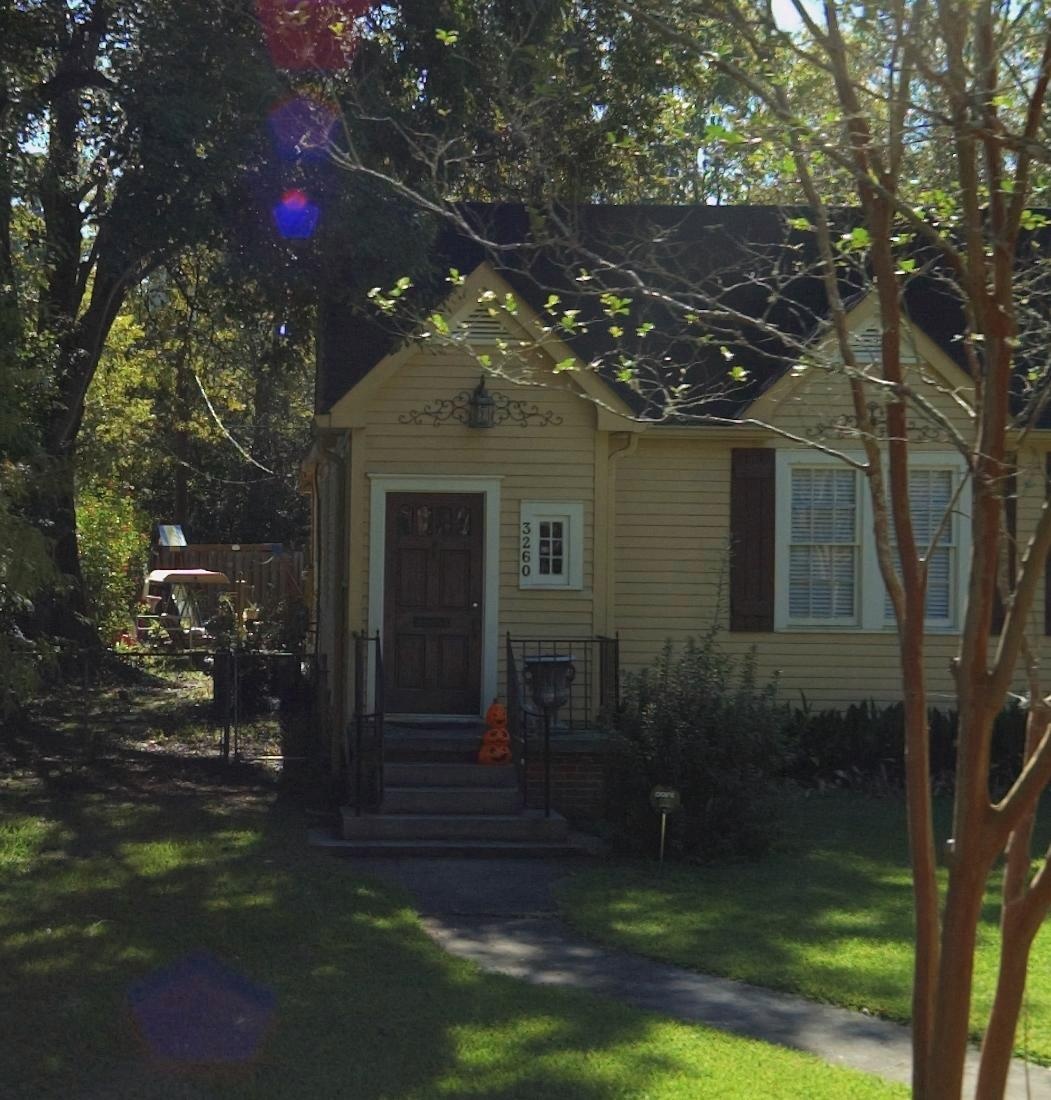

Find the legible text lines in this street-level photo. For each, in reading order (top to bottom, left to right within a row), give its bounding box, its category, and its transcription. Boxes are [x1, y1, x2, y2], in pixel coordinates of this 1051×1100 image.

[520, 520, 533, 579] StreetNumber: 3260